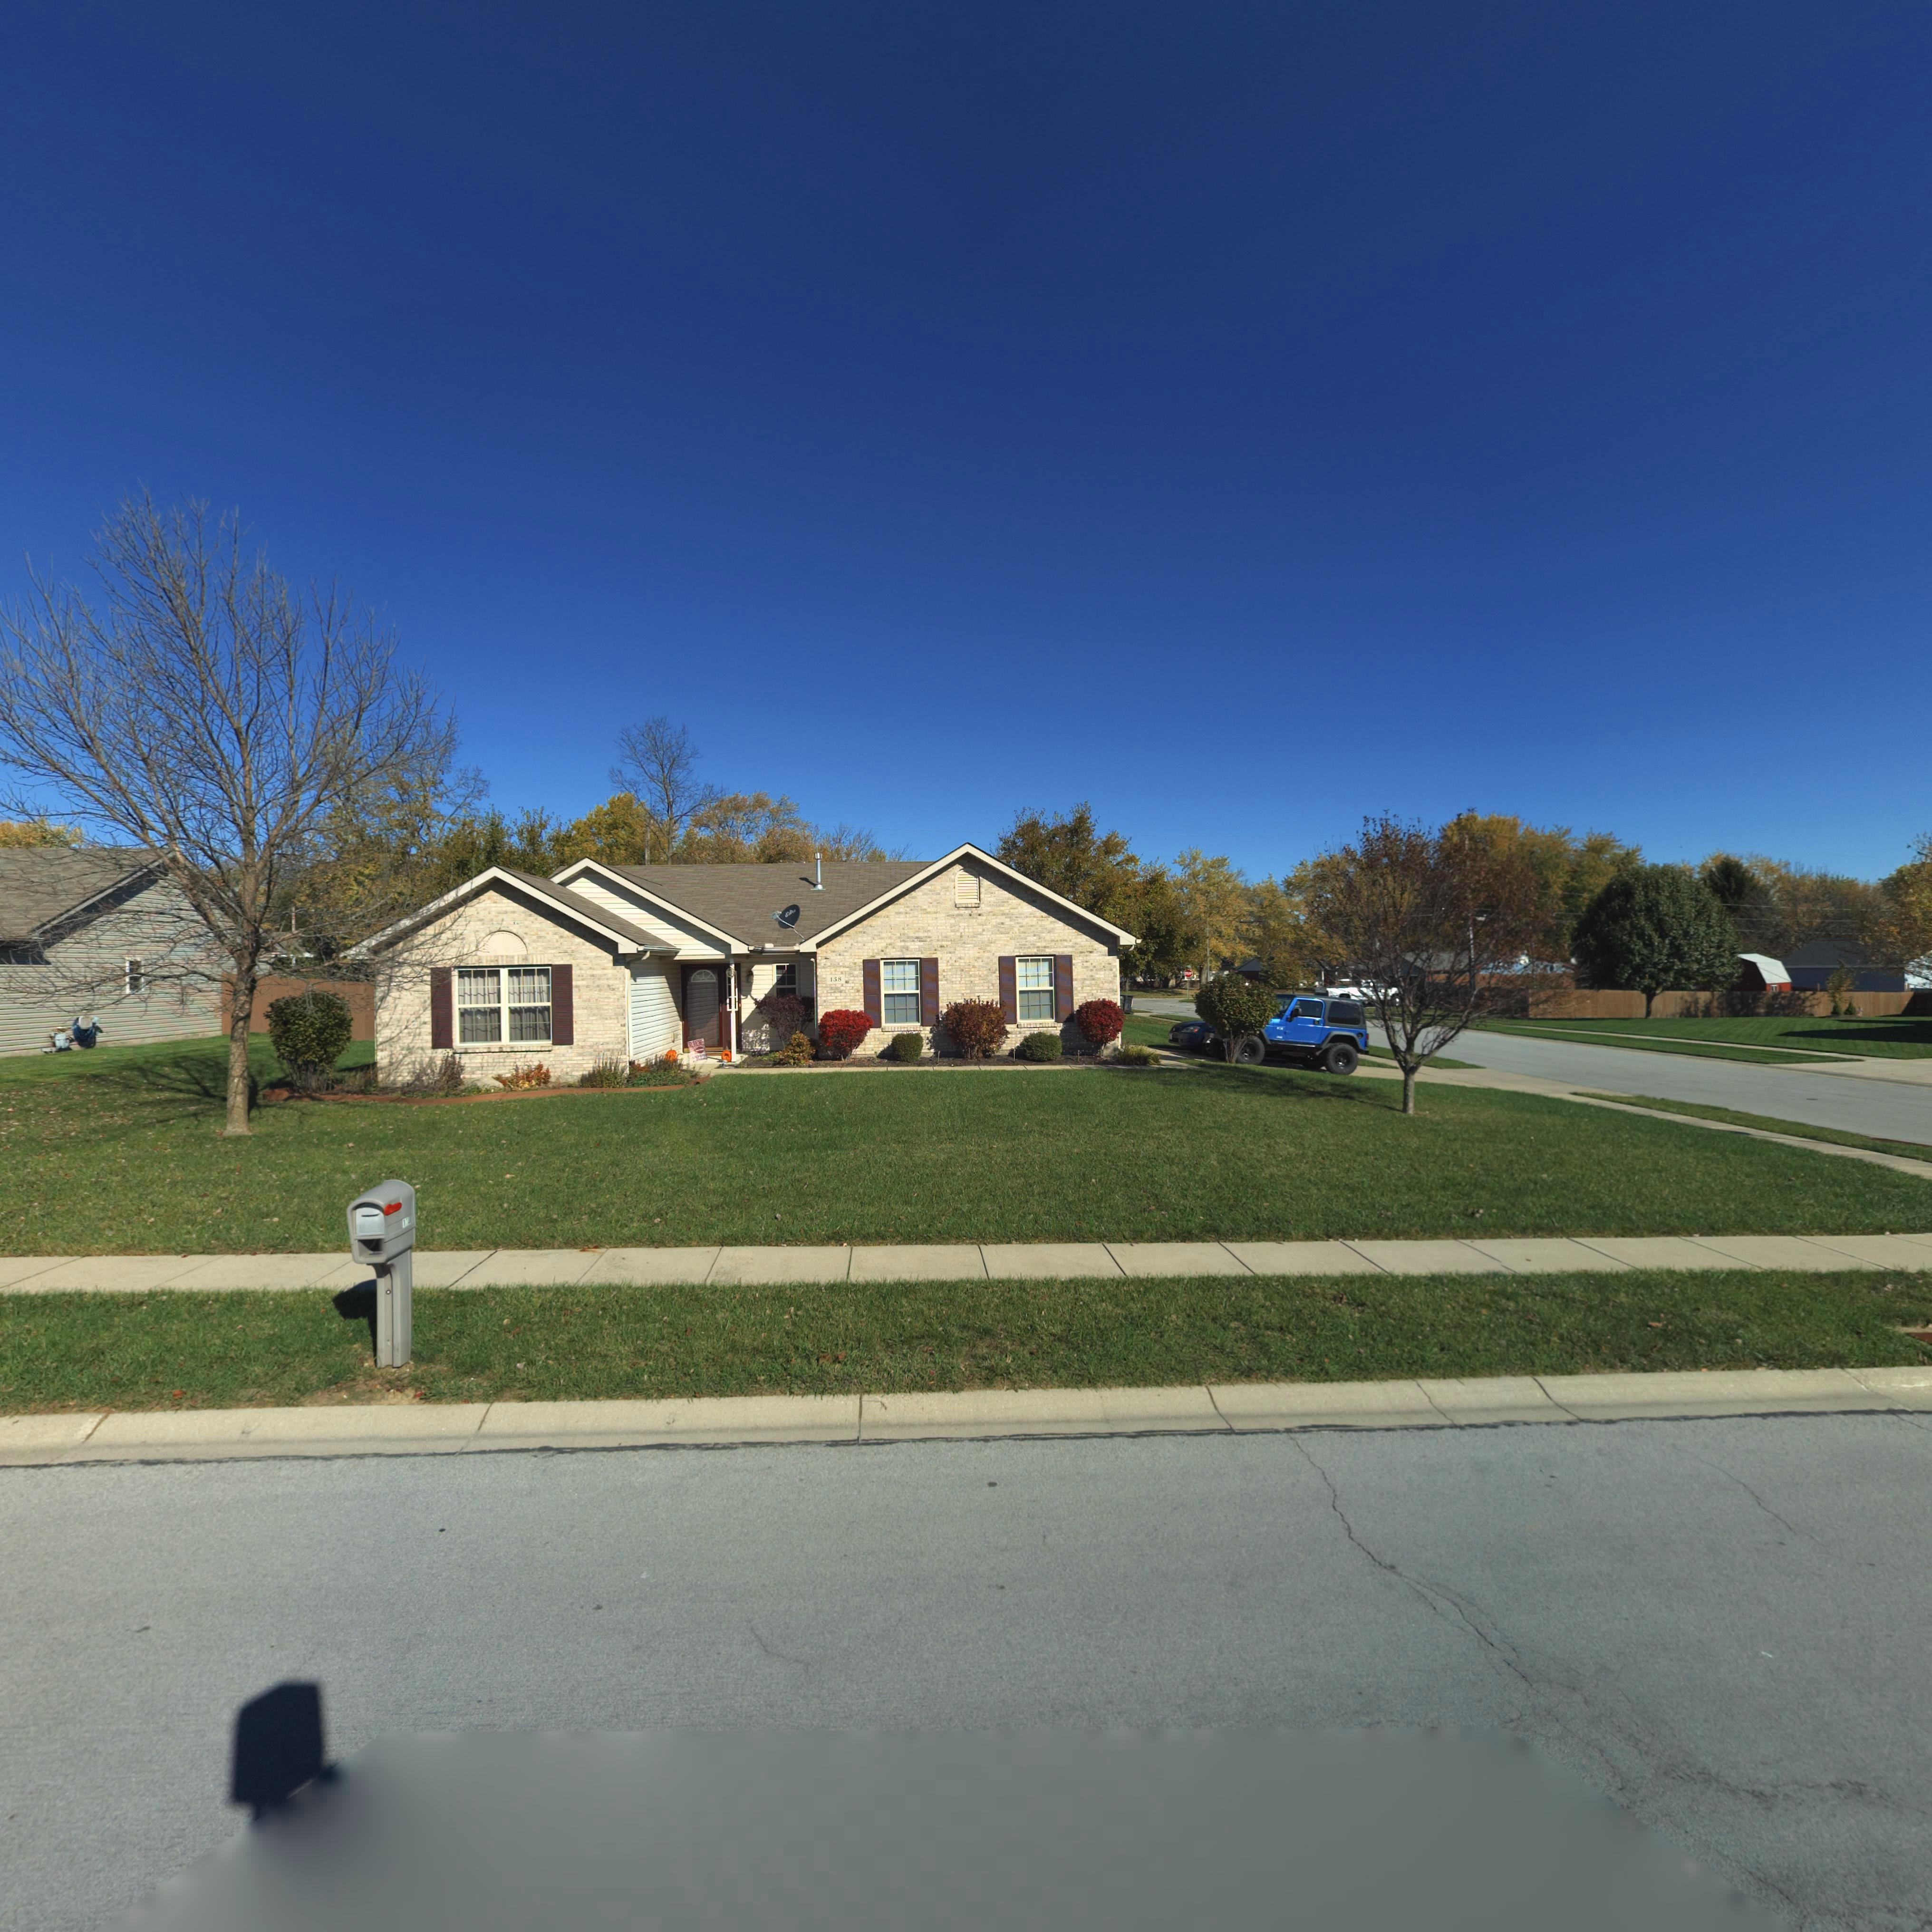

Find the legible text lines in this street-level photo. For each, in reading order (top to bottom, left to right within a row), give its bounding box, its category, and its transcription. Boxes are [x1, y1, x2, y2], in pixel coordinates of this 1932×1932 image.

[830, 976, 842, 982] StreetNumber: 138
[403, 1217, 406, 1228] StreetNumber: 1